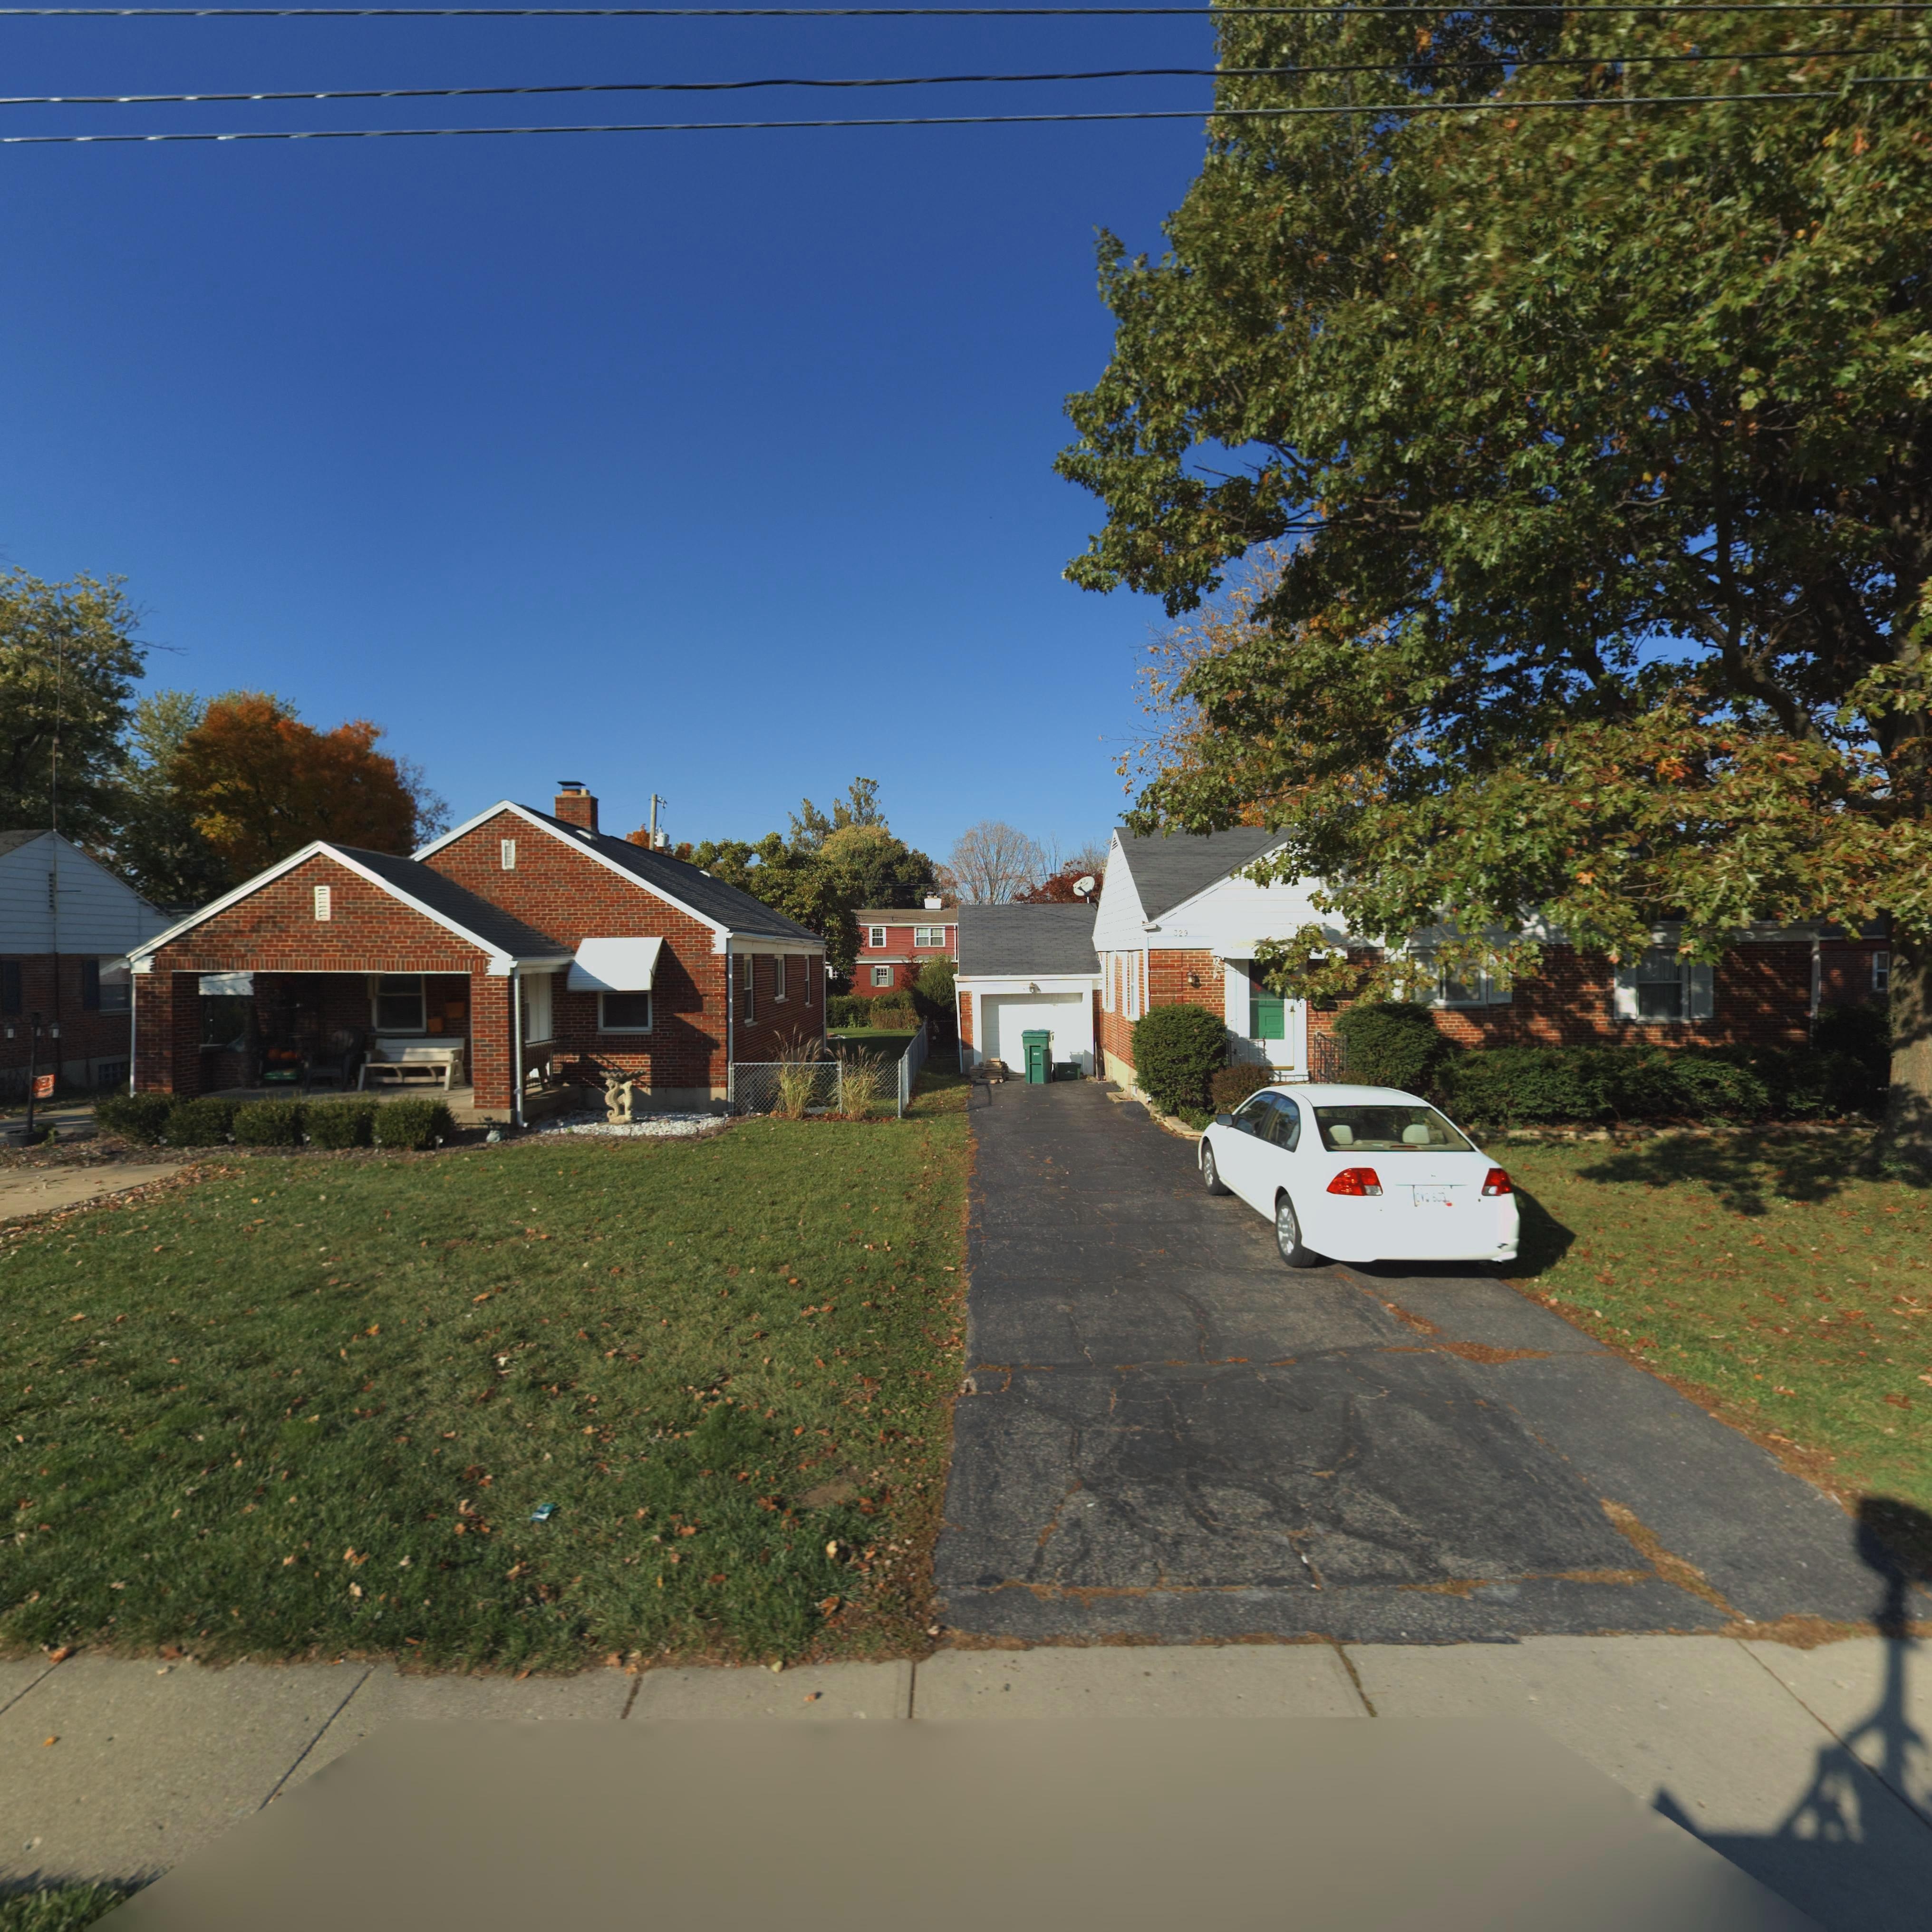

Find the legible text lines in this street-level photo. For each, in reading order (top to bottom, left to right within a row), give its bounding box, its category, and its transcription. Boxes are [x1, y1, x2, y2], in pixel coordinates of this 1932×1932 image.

[1173, 928, 1189, 938] StreetNumber: 329